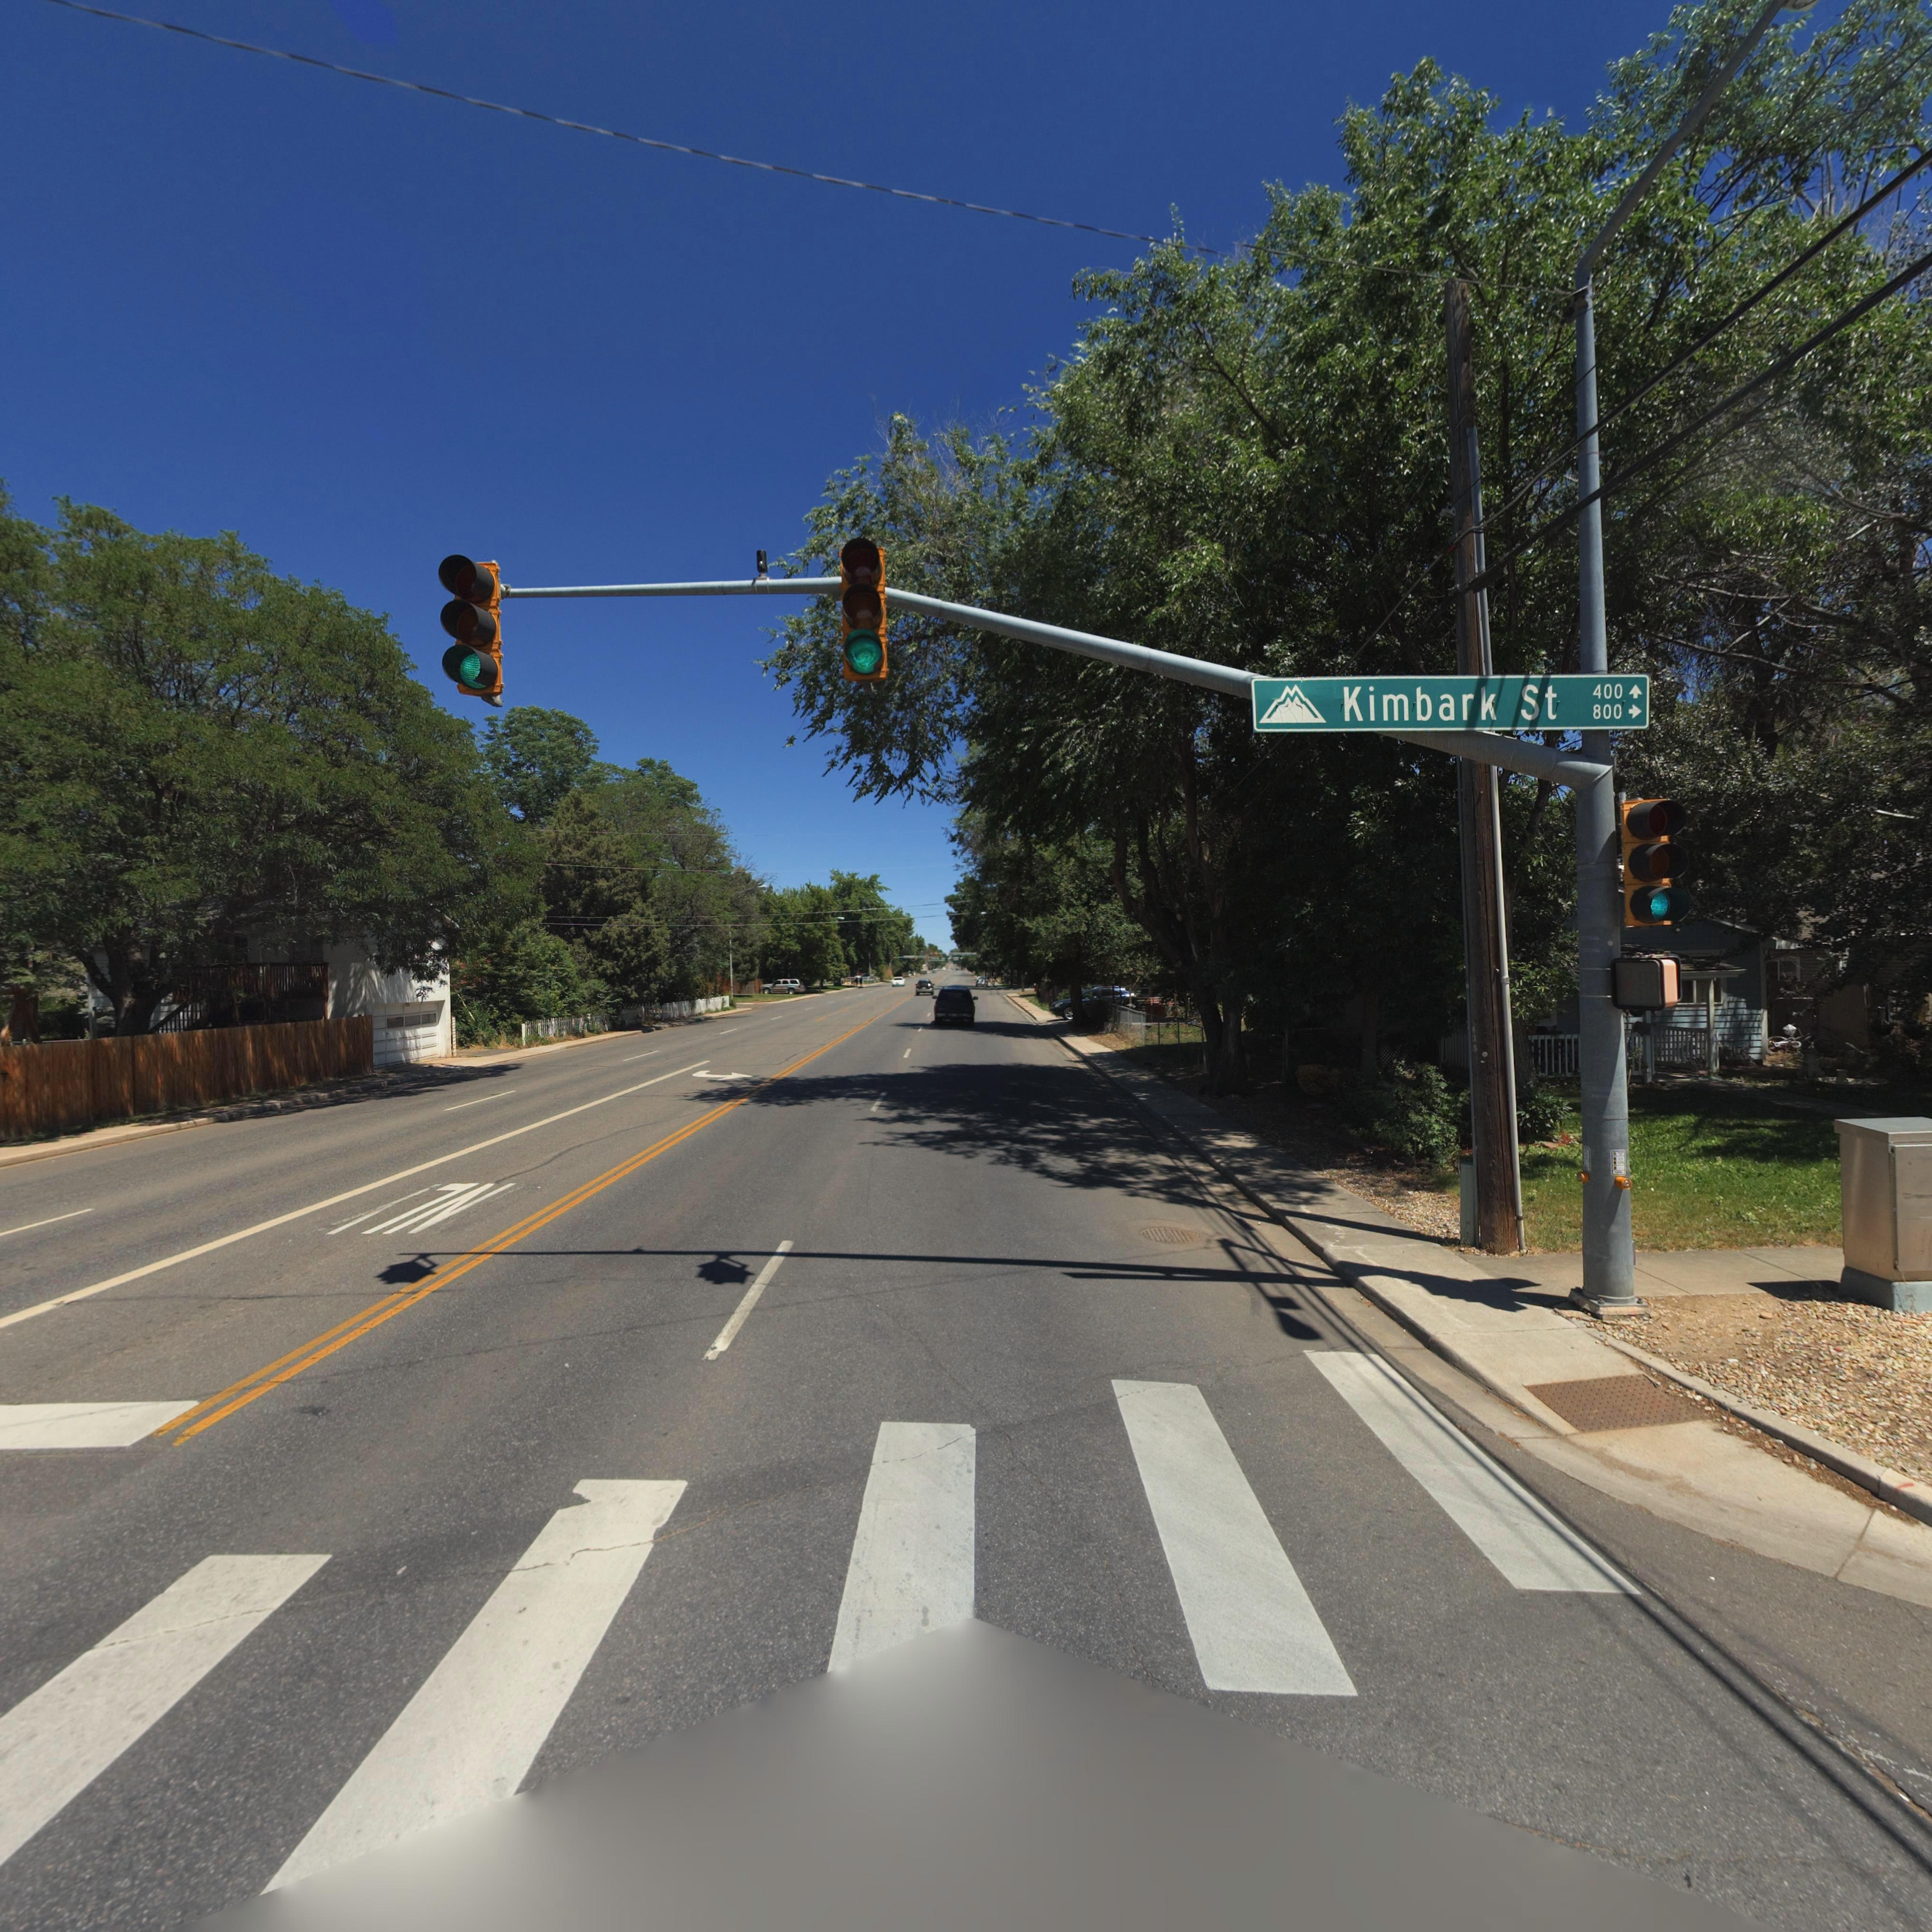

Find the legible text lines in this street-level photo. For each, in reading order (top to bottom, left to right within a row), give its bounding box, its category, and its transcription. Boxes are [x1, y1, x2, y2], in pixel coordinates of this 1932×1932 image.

[1592, 682, 1623, 700] StreetNumberRange: 400
[1342, 683, 1558, 722] StreetName: Kimbark St
[1592, 703, 1643, 720] StreetNumberRange: 800 ->